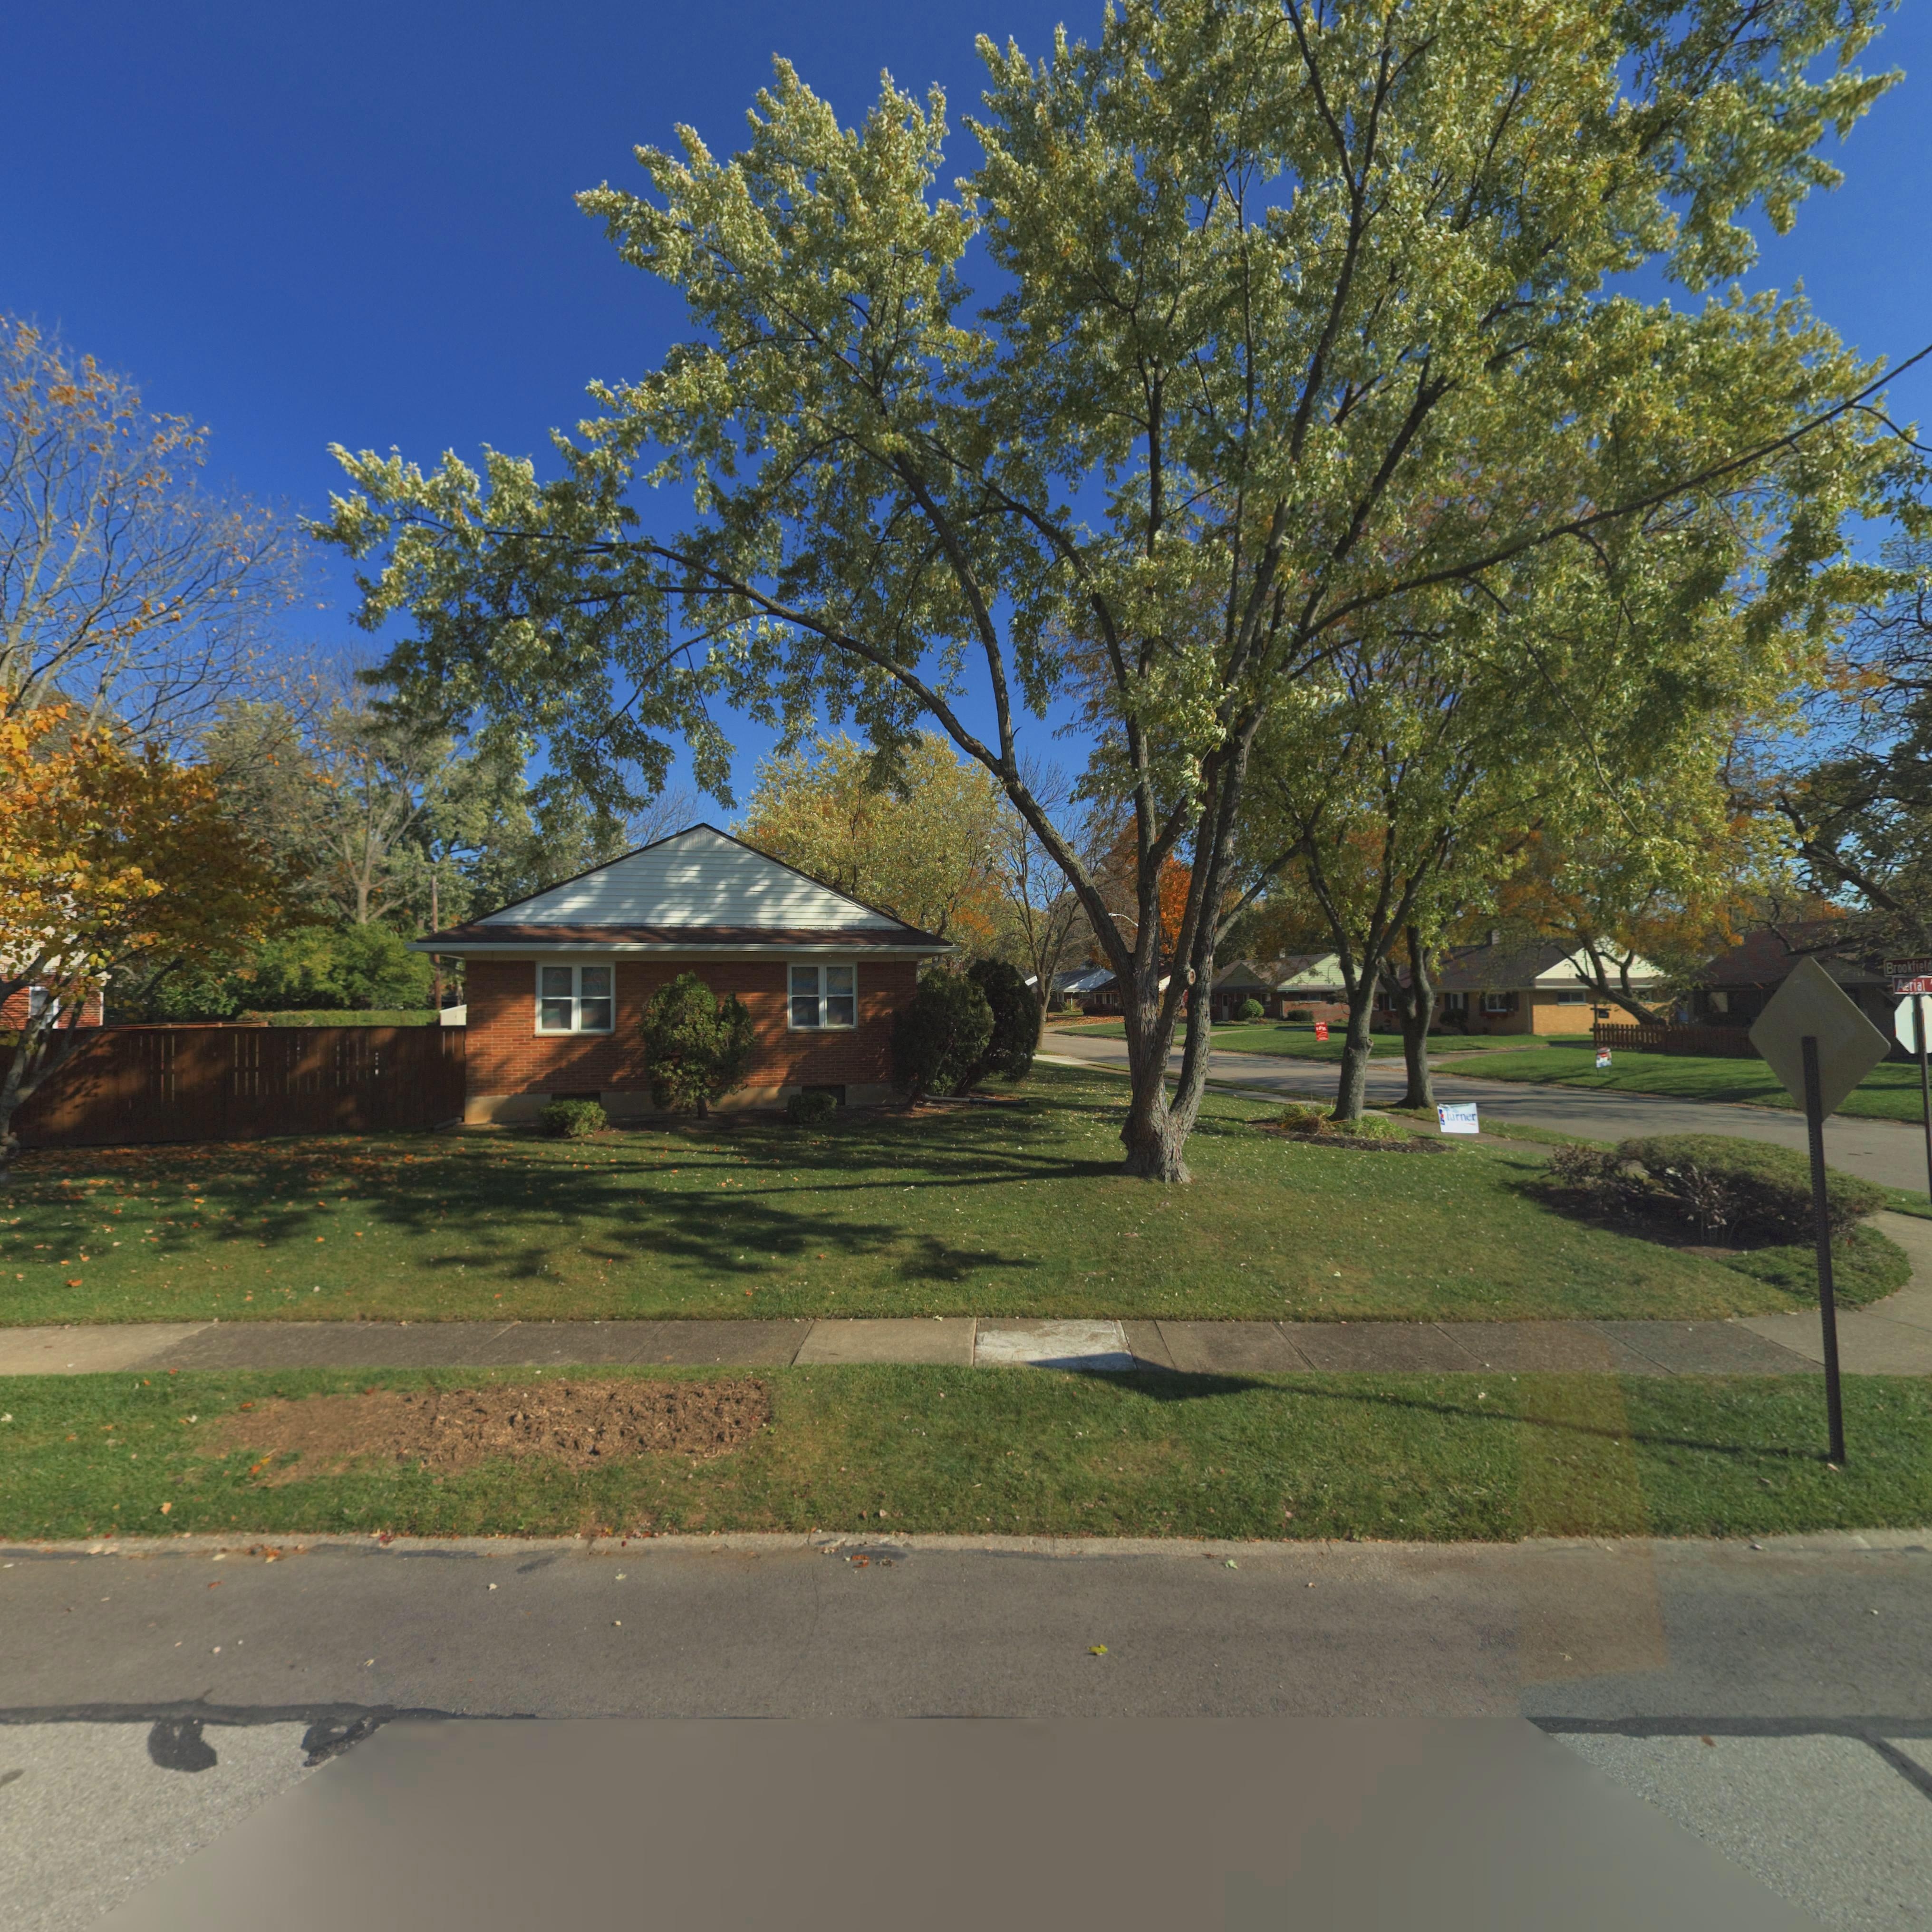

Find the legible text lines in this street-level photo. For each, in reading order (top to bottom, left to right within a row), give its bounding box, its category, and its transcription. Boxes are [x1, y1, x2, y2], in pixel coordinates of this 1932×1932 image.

[1885, 959, 1932, 975] StreetName: Brookfield
[1895, 978, 1926, 992] StreetName: Aerial
[1316, 1027, 1327, 1031] None: H*R
[1443, 1108, 1477, 1121] None: Turner